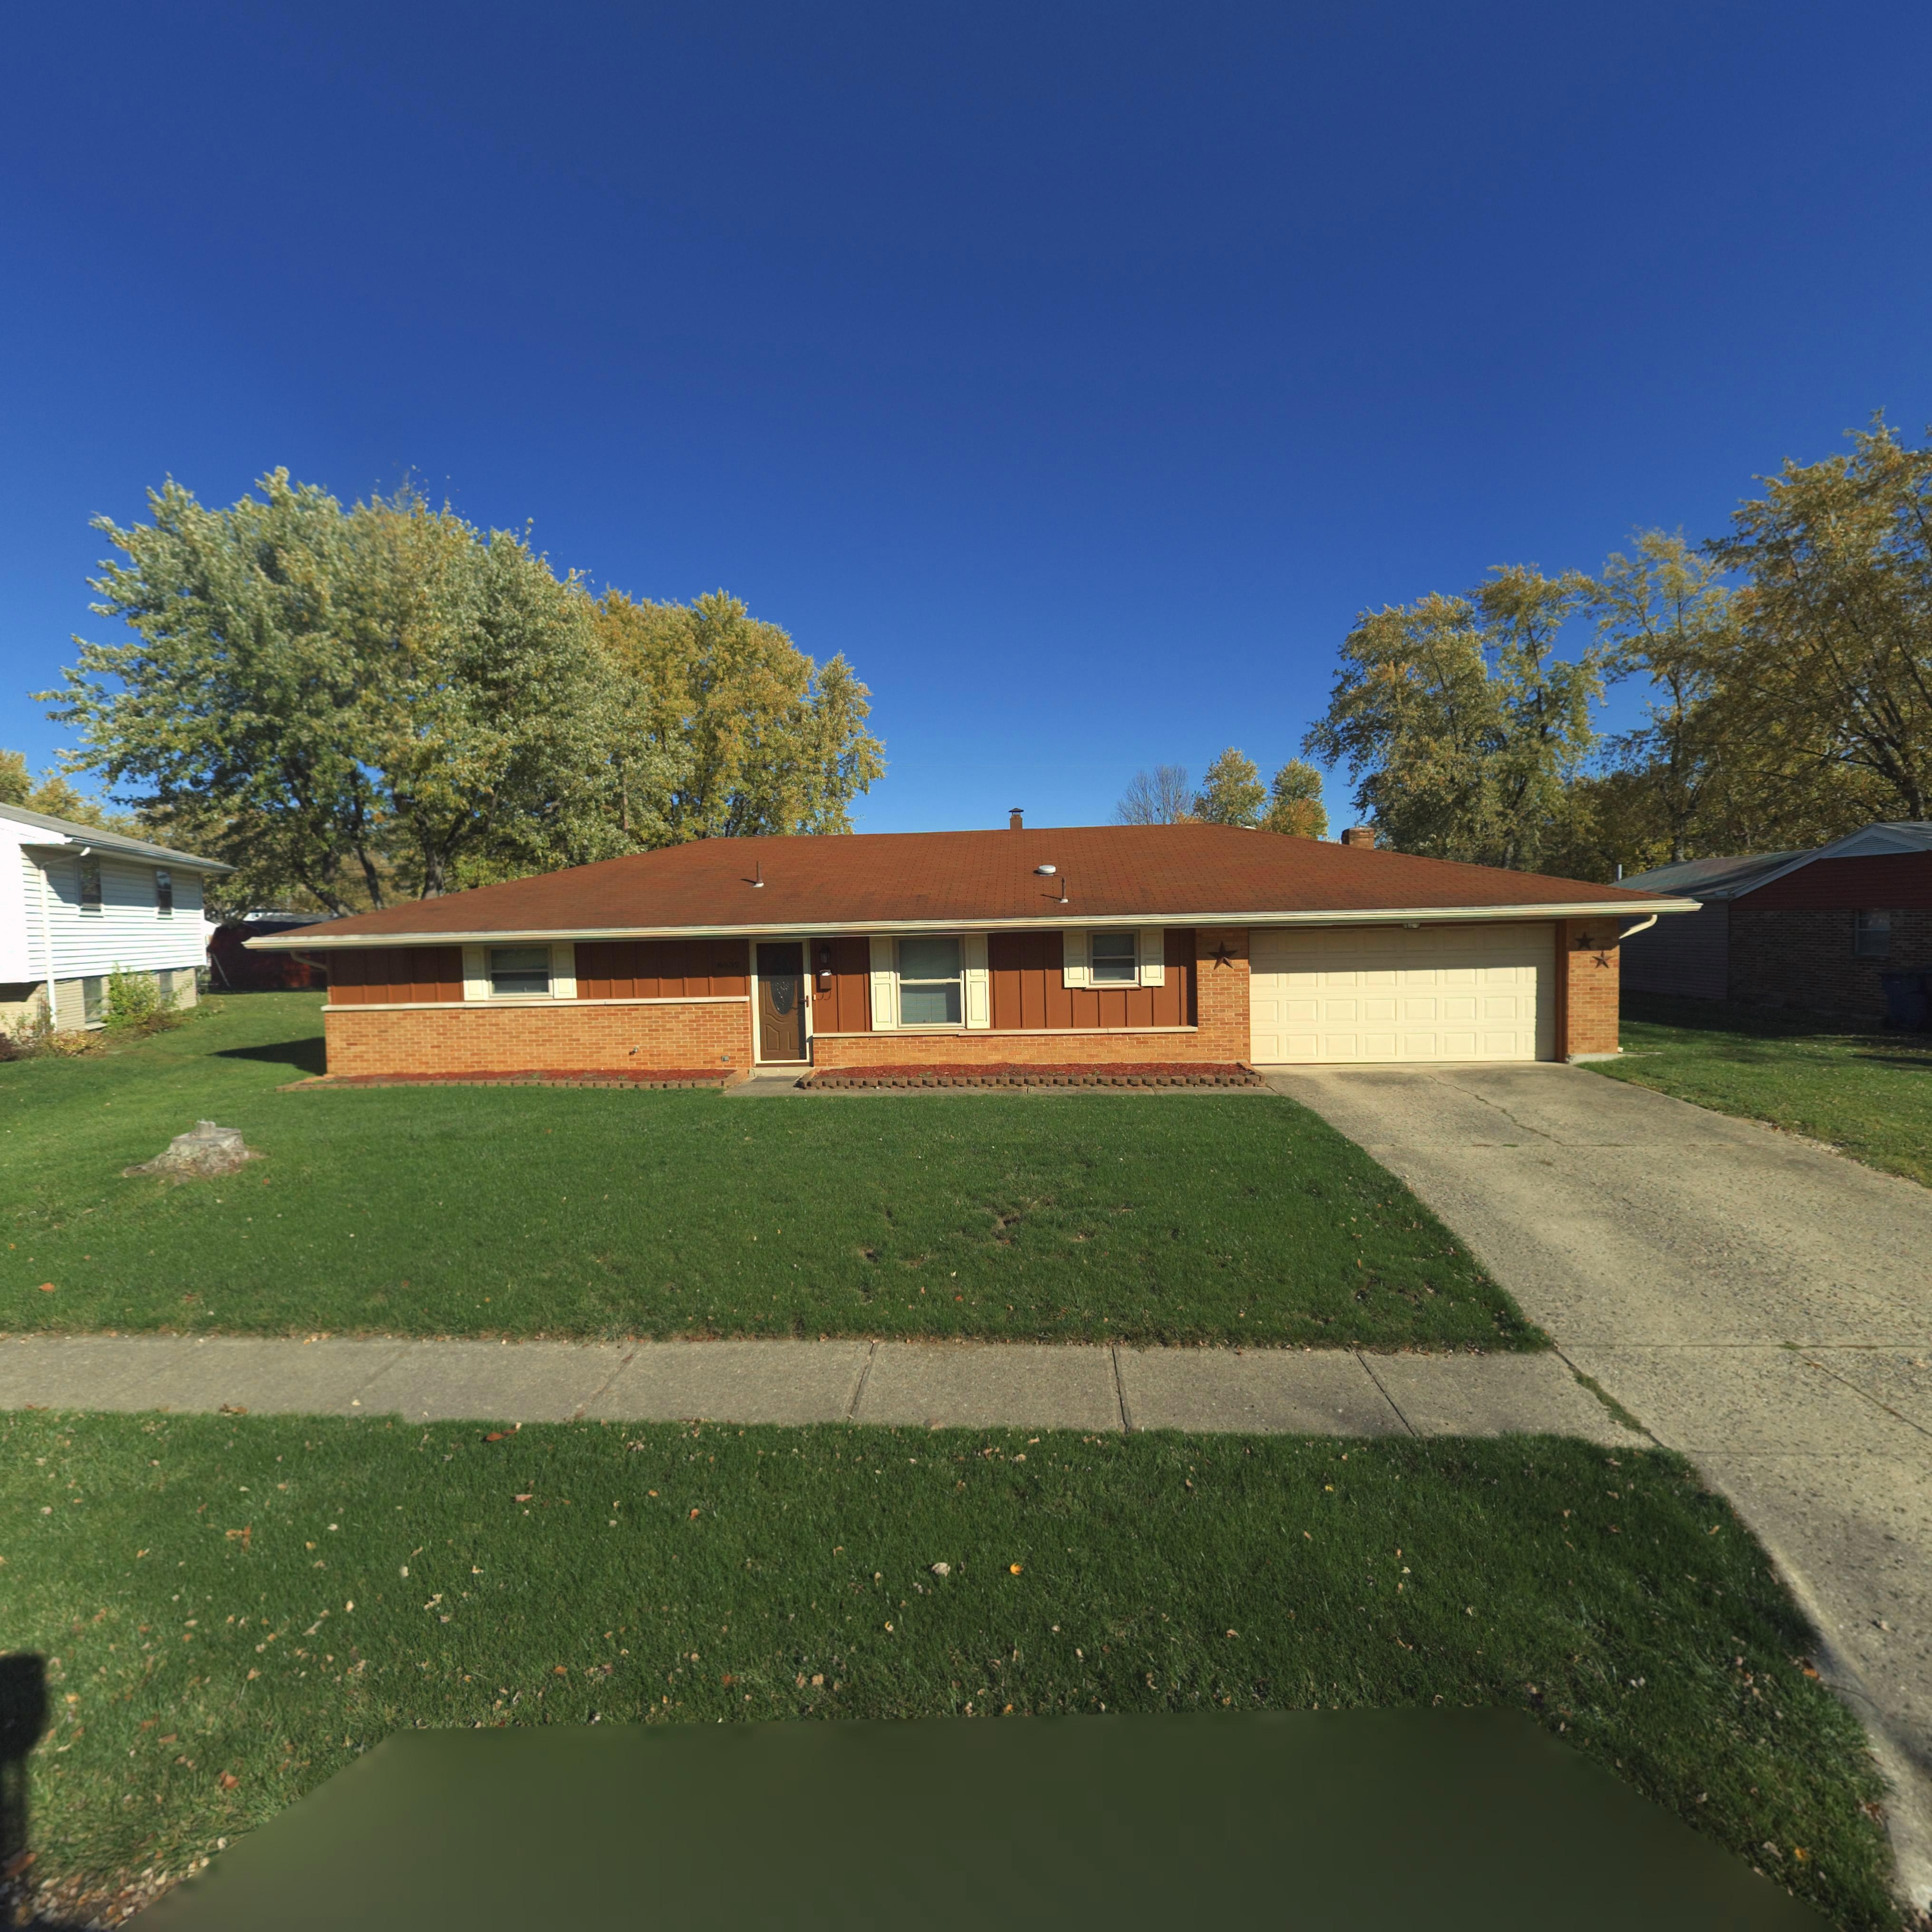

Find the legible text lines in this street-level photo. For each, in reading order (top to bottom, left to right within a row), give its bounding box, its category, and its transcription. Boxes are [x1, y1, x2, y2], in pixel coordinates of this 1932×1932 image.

[717, 961, 740, 969] StreetNumber: 6832